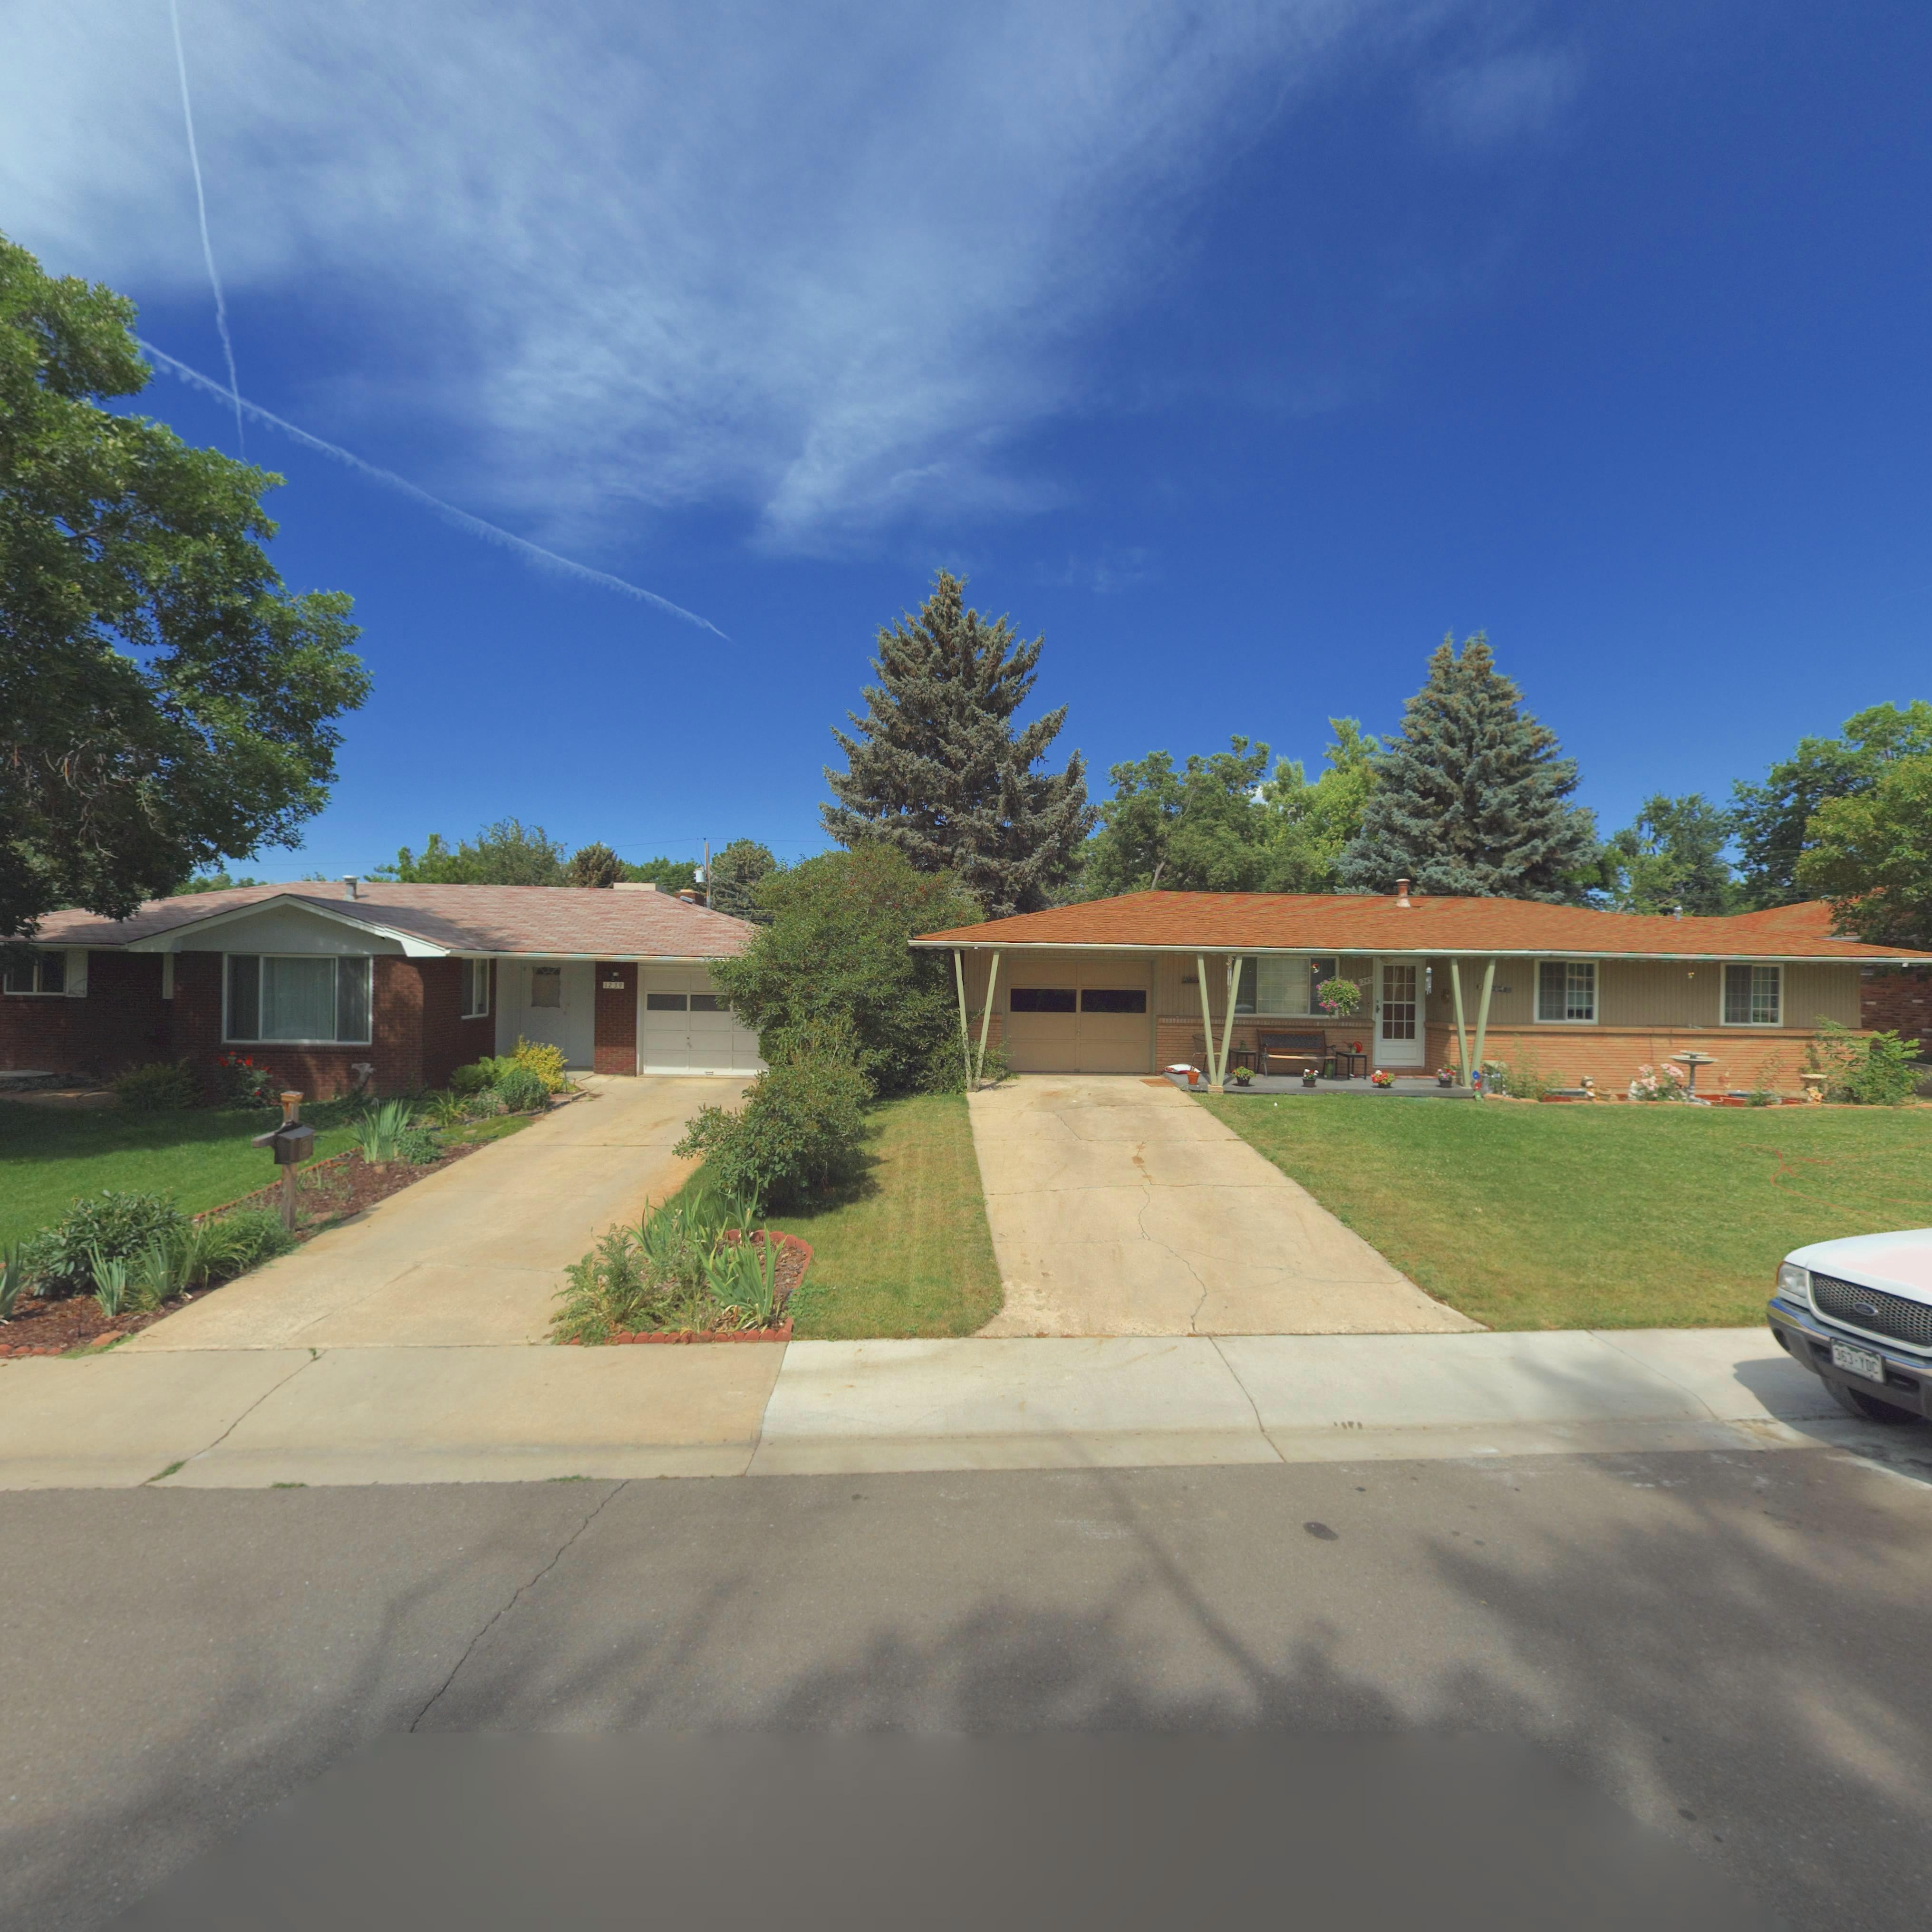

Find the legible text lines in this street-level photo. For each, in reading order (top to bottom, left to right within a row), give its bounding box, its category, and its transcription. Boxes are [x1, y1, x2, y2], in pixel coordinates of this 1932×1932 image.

[604, 982, 622, 988] StreetNumber: 1239
[1358, 976, 1372, 985] StreetNumber: 1245